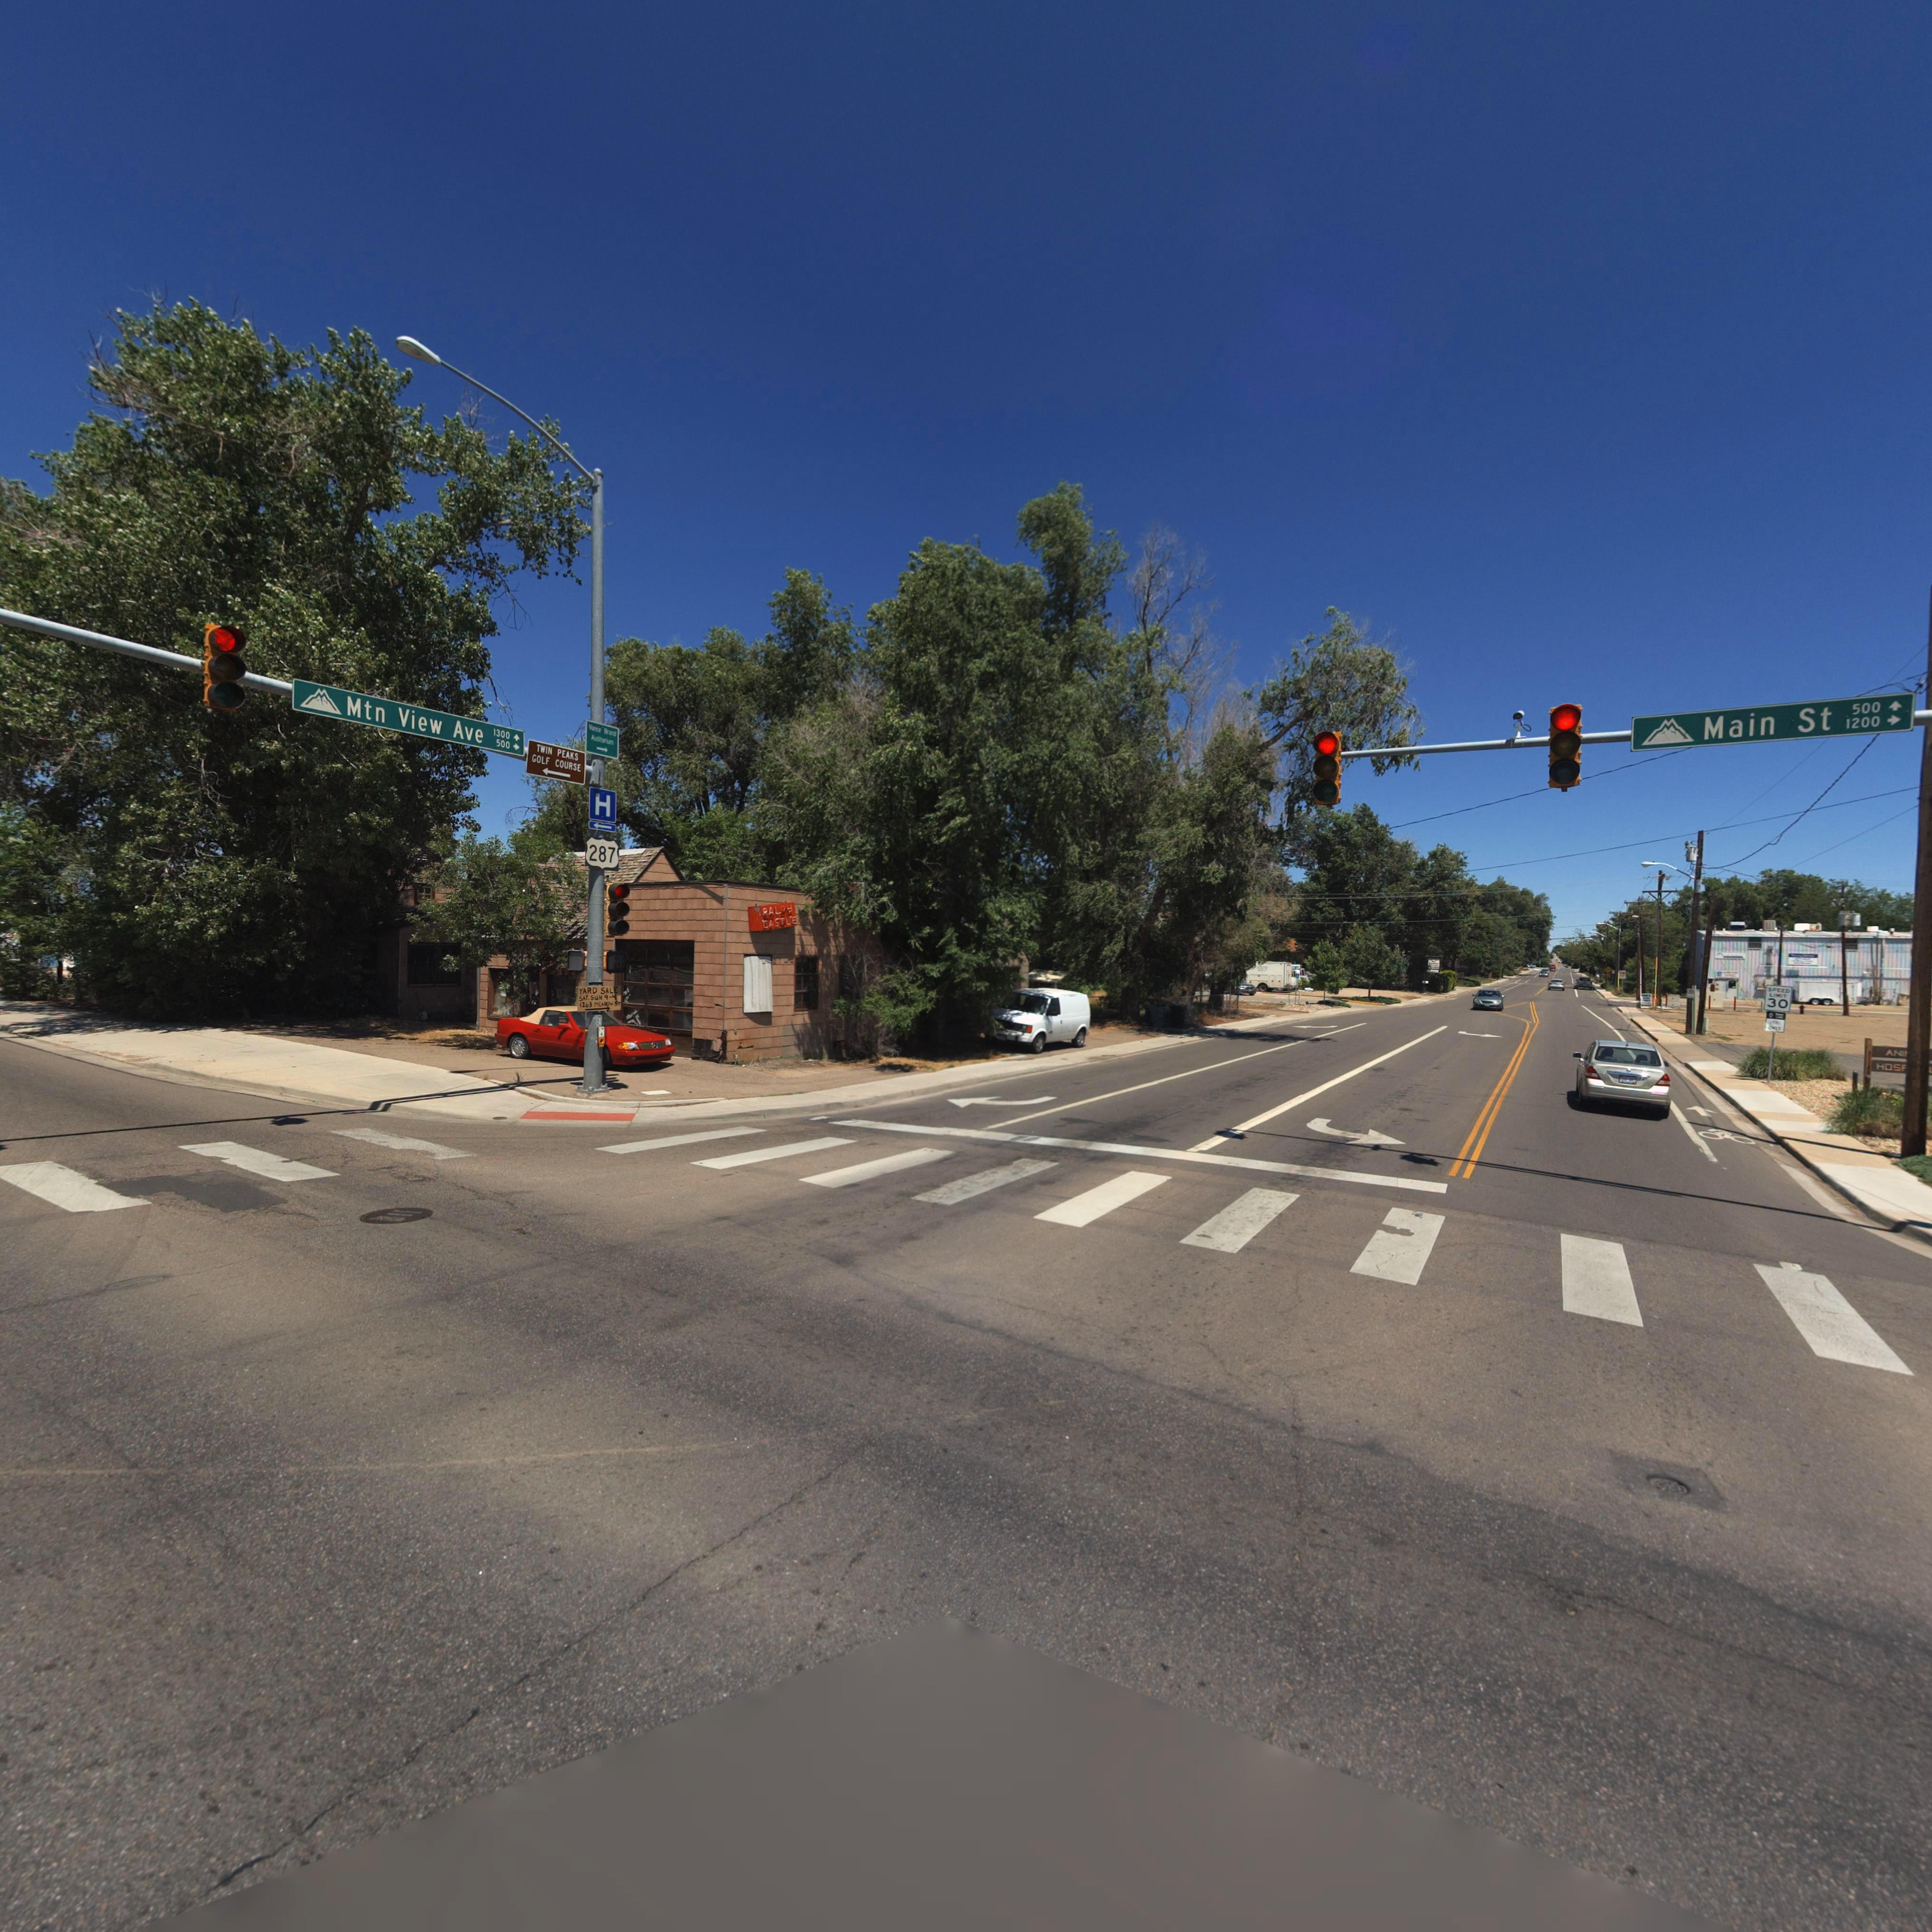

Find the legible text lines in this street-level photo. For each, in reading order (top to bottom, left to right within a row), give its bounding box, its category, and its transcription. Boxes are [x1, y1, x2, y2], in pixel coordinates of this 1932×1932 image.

[1852, 701, 1881, 715] StreetNumberRange: 500
[347, 694, 483, 744] StreetName: Mtn View Ave
[1703, 706, 1832, 740] StreetName: Main St
[1846, 714, 1901, 729] StreetNumberRange: 1200 ->
[493, 728, 510, 739] StreetNumberRange: 1300
[496, 738, 520, 751] StreetNumberRange: 500 ->
[762, 904, 792, 916] BusinessName: RALPH
[762, 916, 796, 928] BusinessName: CASTLE
[1885, 1048, 1904, 1057] BusinessName: ANI
[1876, 1062, 1901, 1071] BusinessName: HOS